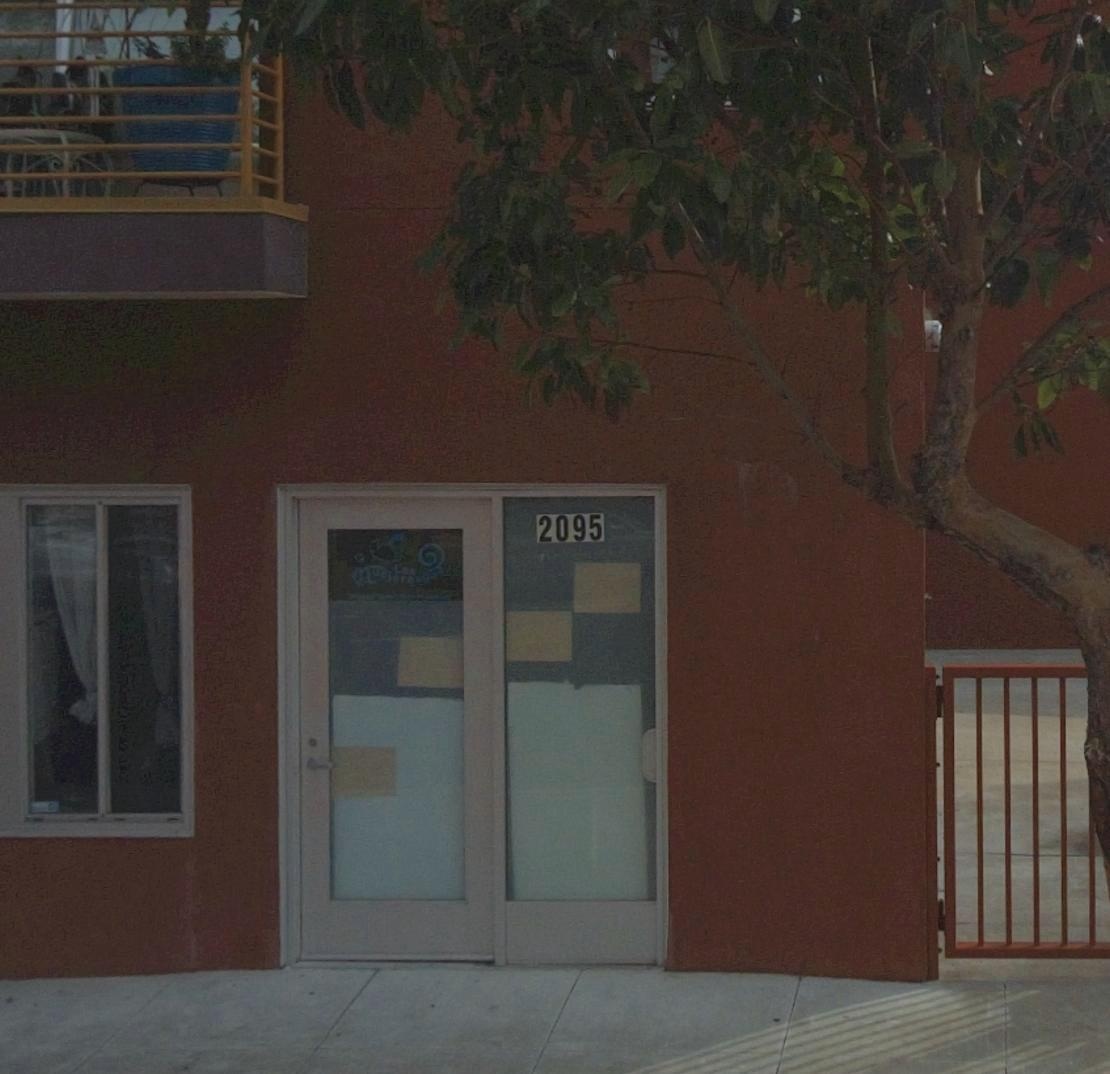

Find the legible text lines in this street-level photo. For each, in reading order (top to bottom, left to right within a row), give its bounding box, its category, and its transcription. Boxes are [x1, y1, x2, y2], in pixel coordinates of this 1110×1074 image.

[538, 512, 604, 543] StreetNumber: 2095